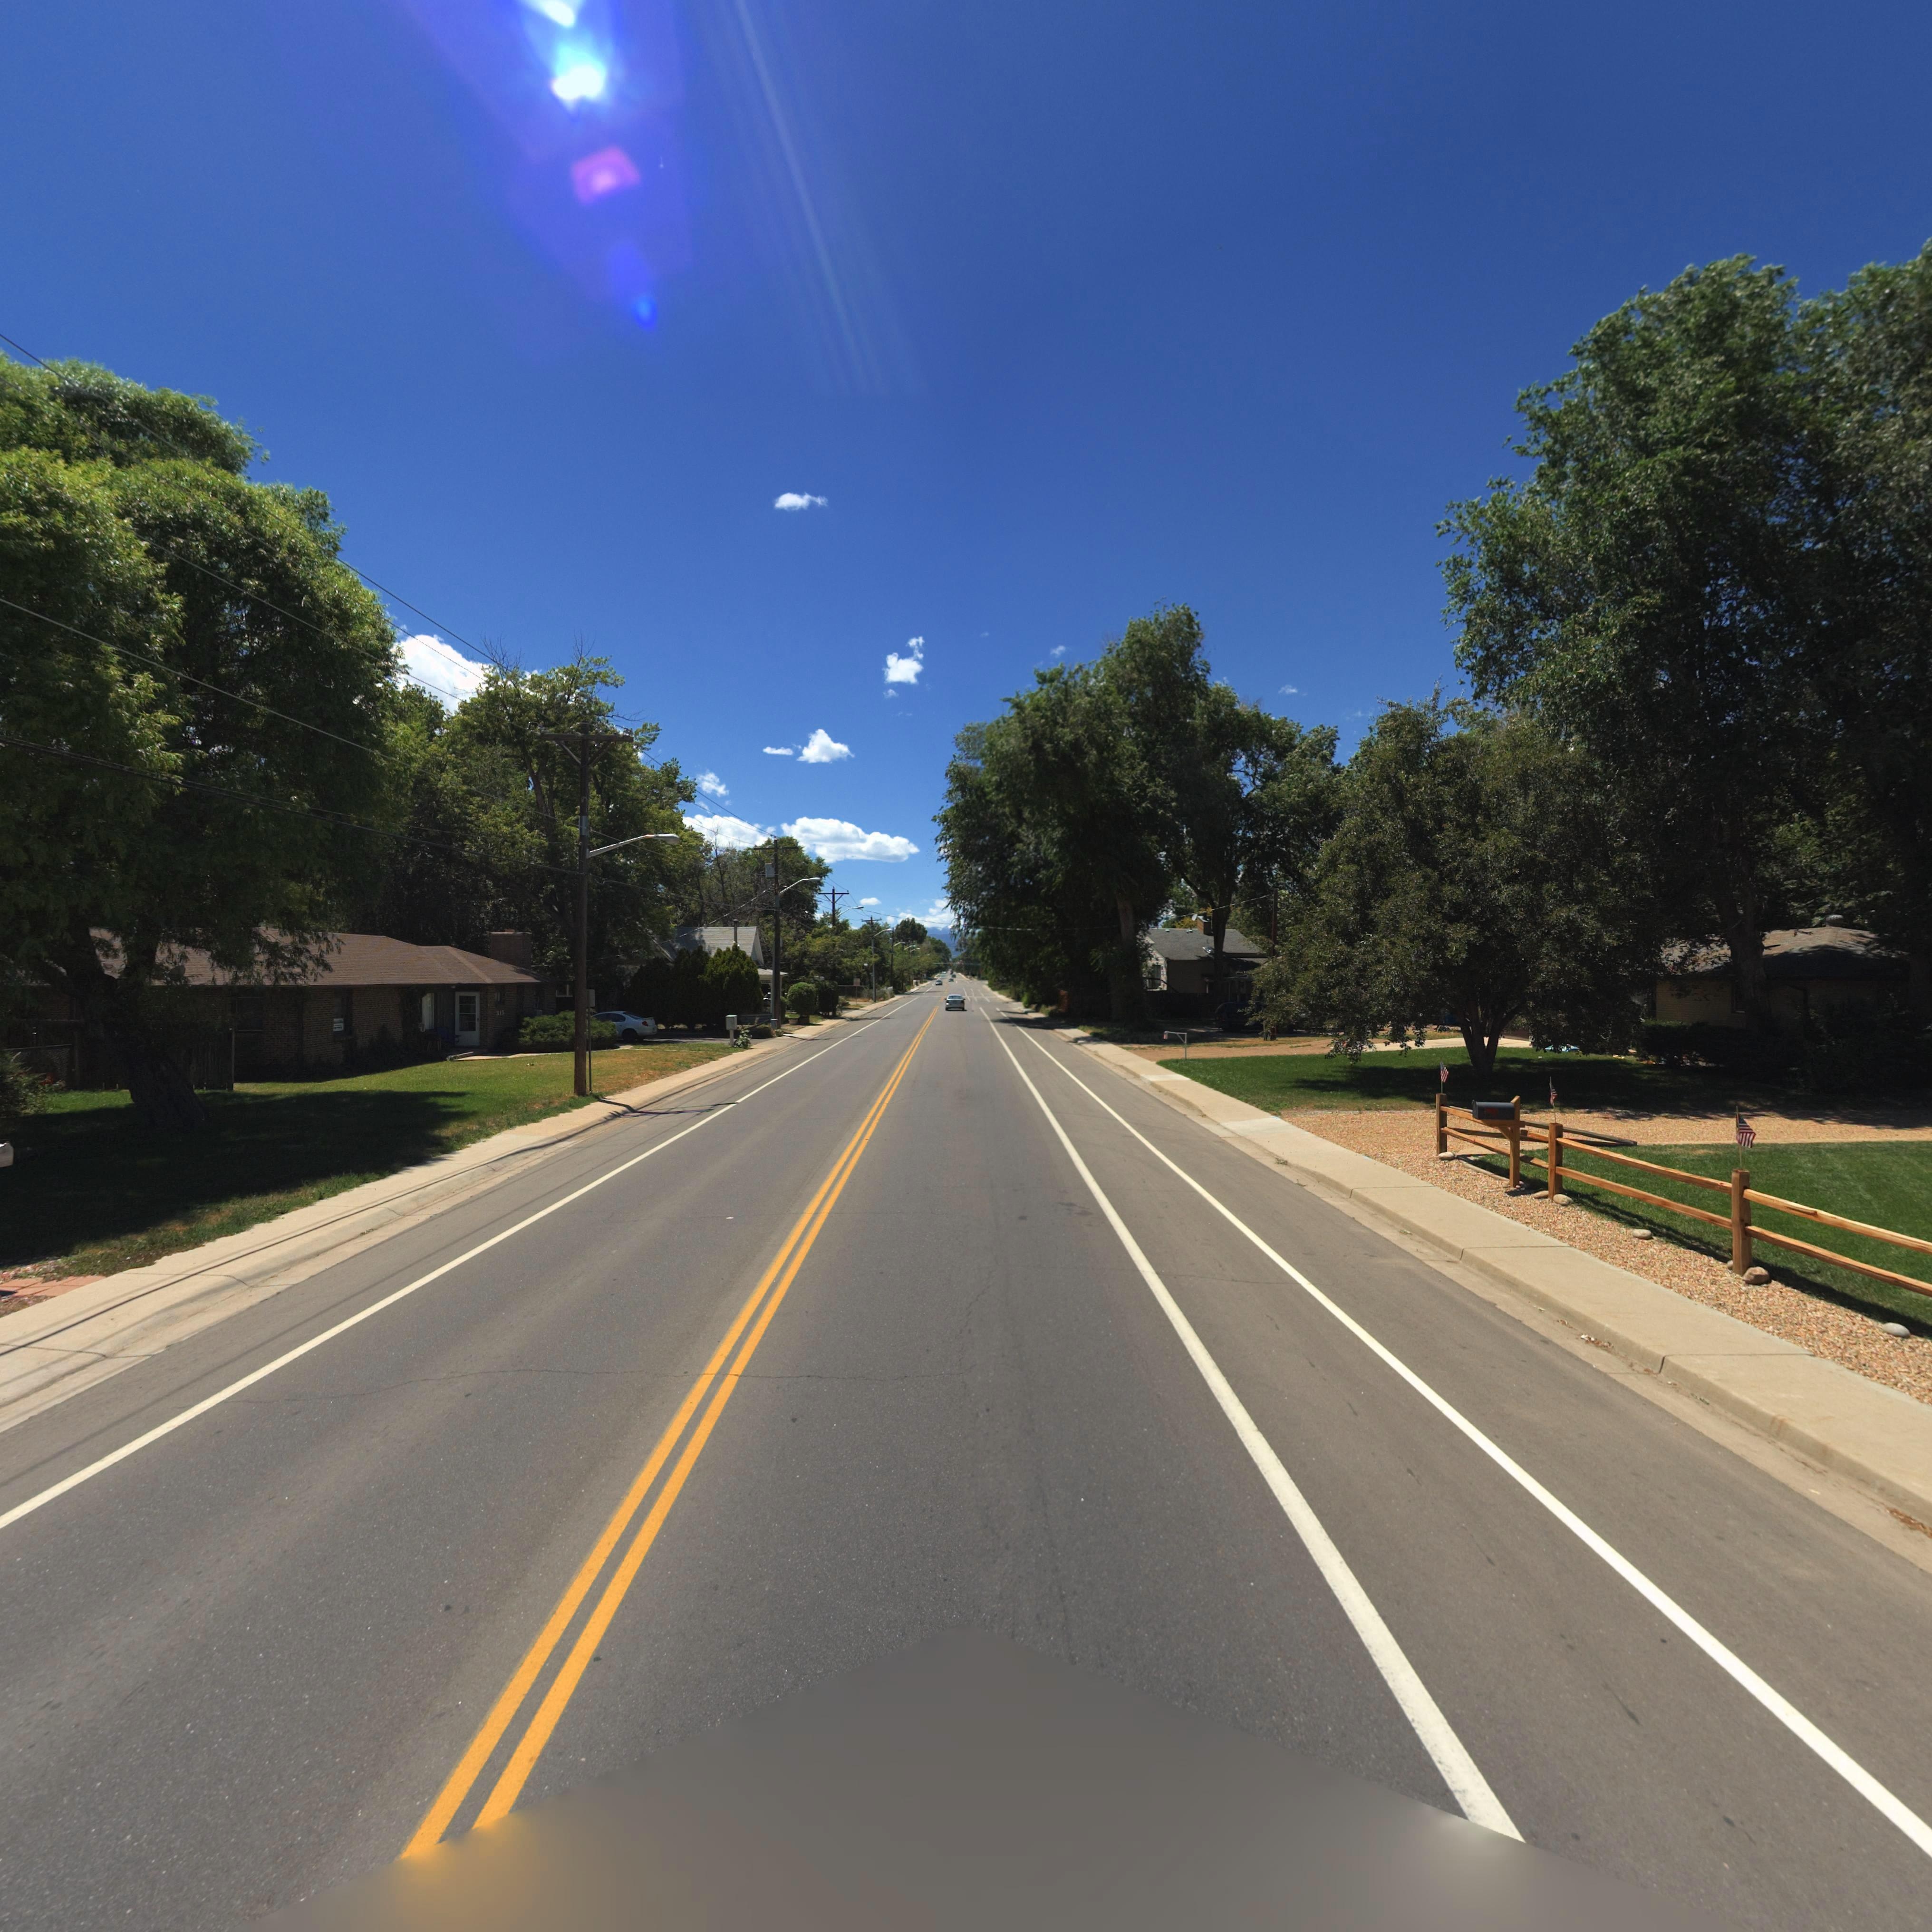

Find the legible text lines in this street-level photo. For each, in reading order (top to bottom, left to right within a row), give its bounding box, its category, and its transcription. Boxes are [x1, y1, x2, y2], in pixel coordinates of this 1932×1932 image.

[496, 1010, 504, 1016] StreetNumber: 315